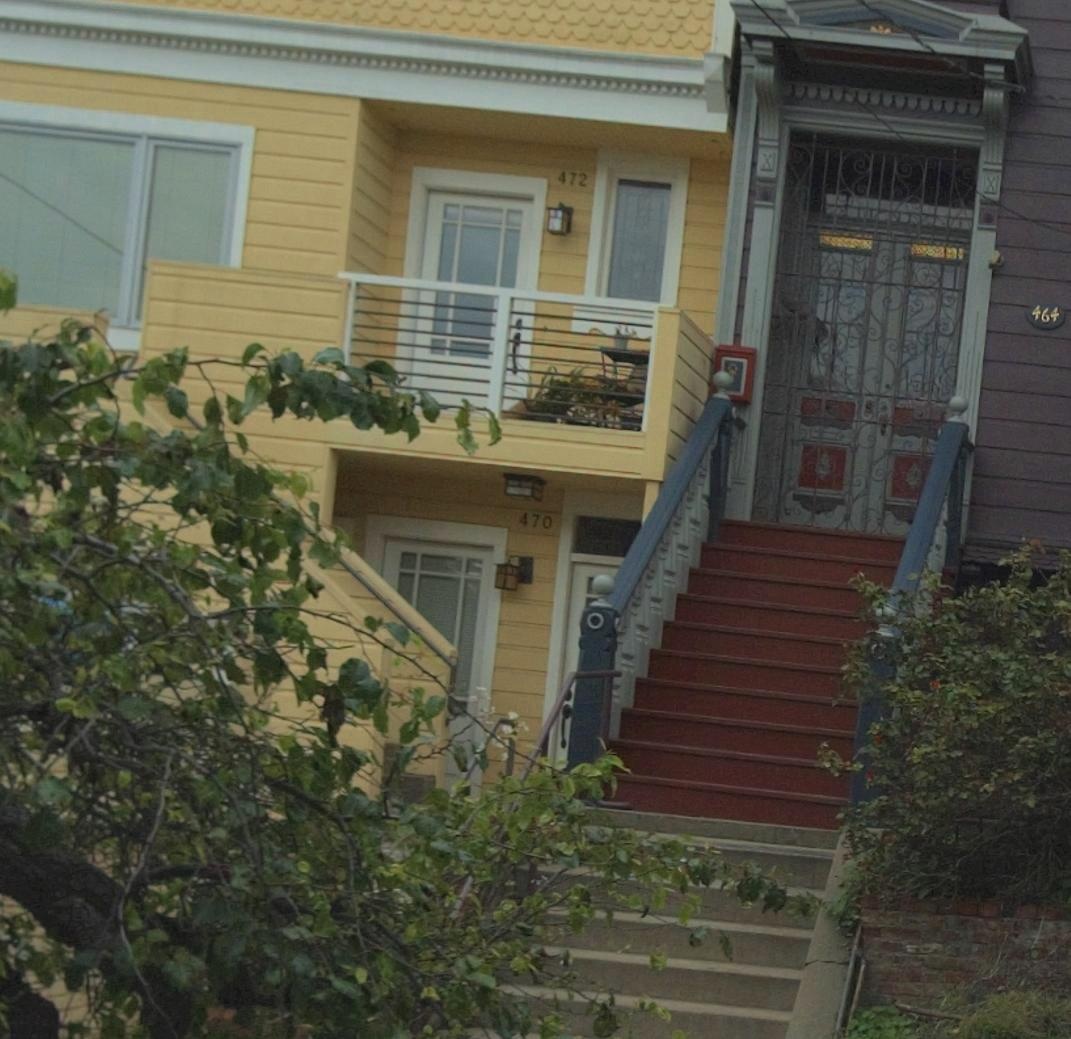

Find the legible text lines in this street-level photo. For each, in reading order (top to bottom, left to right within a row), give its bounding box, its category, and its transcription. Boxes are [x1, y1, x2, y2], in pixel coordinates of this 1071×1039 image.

[554, 169, 590, 190] StreetNumber: 472
[1028, 302, 1060, 325] StreetNumber: 464
[515, 511, 554, 531] StreetNumber: 470